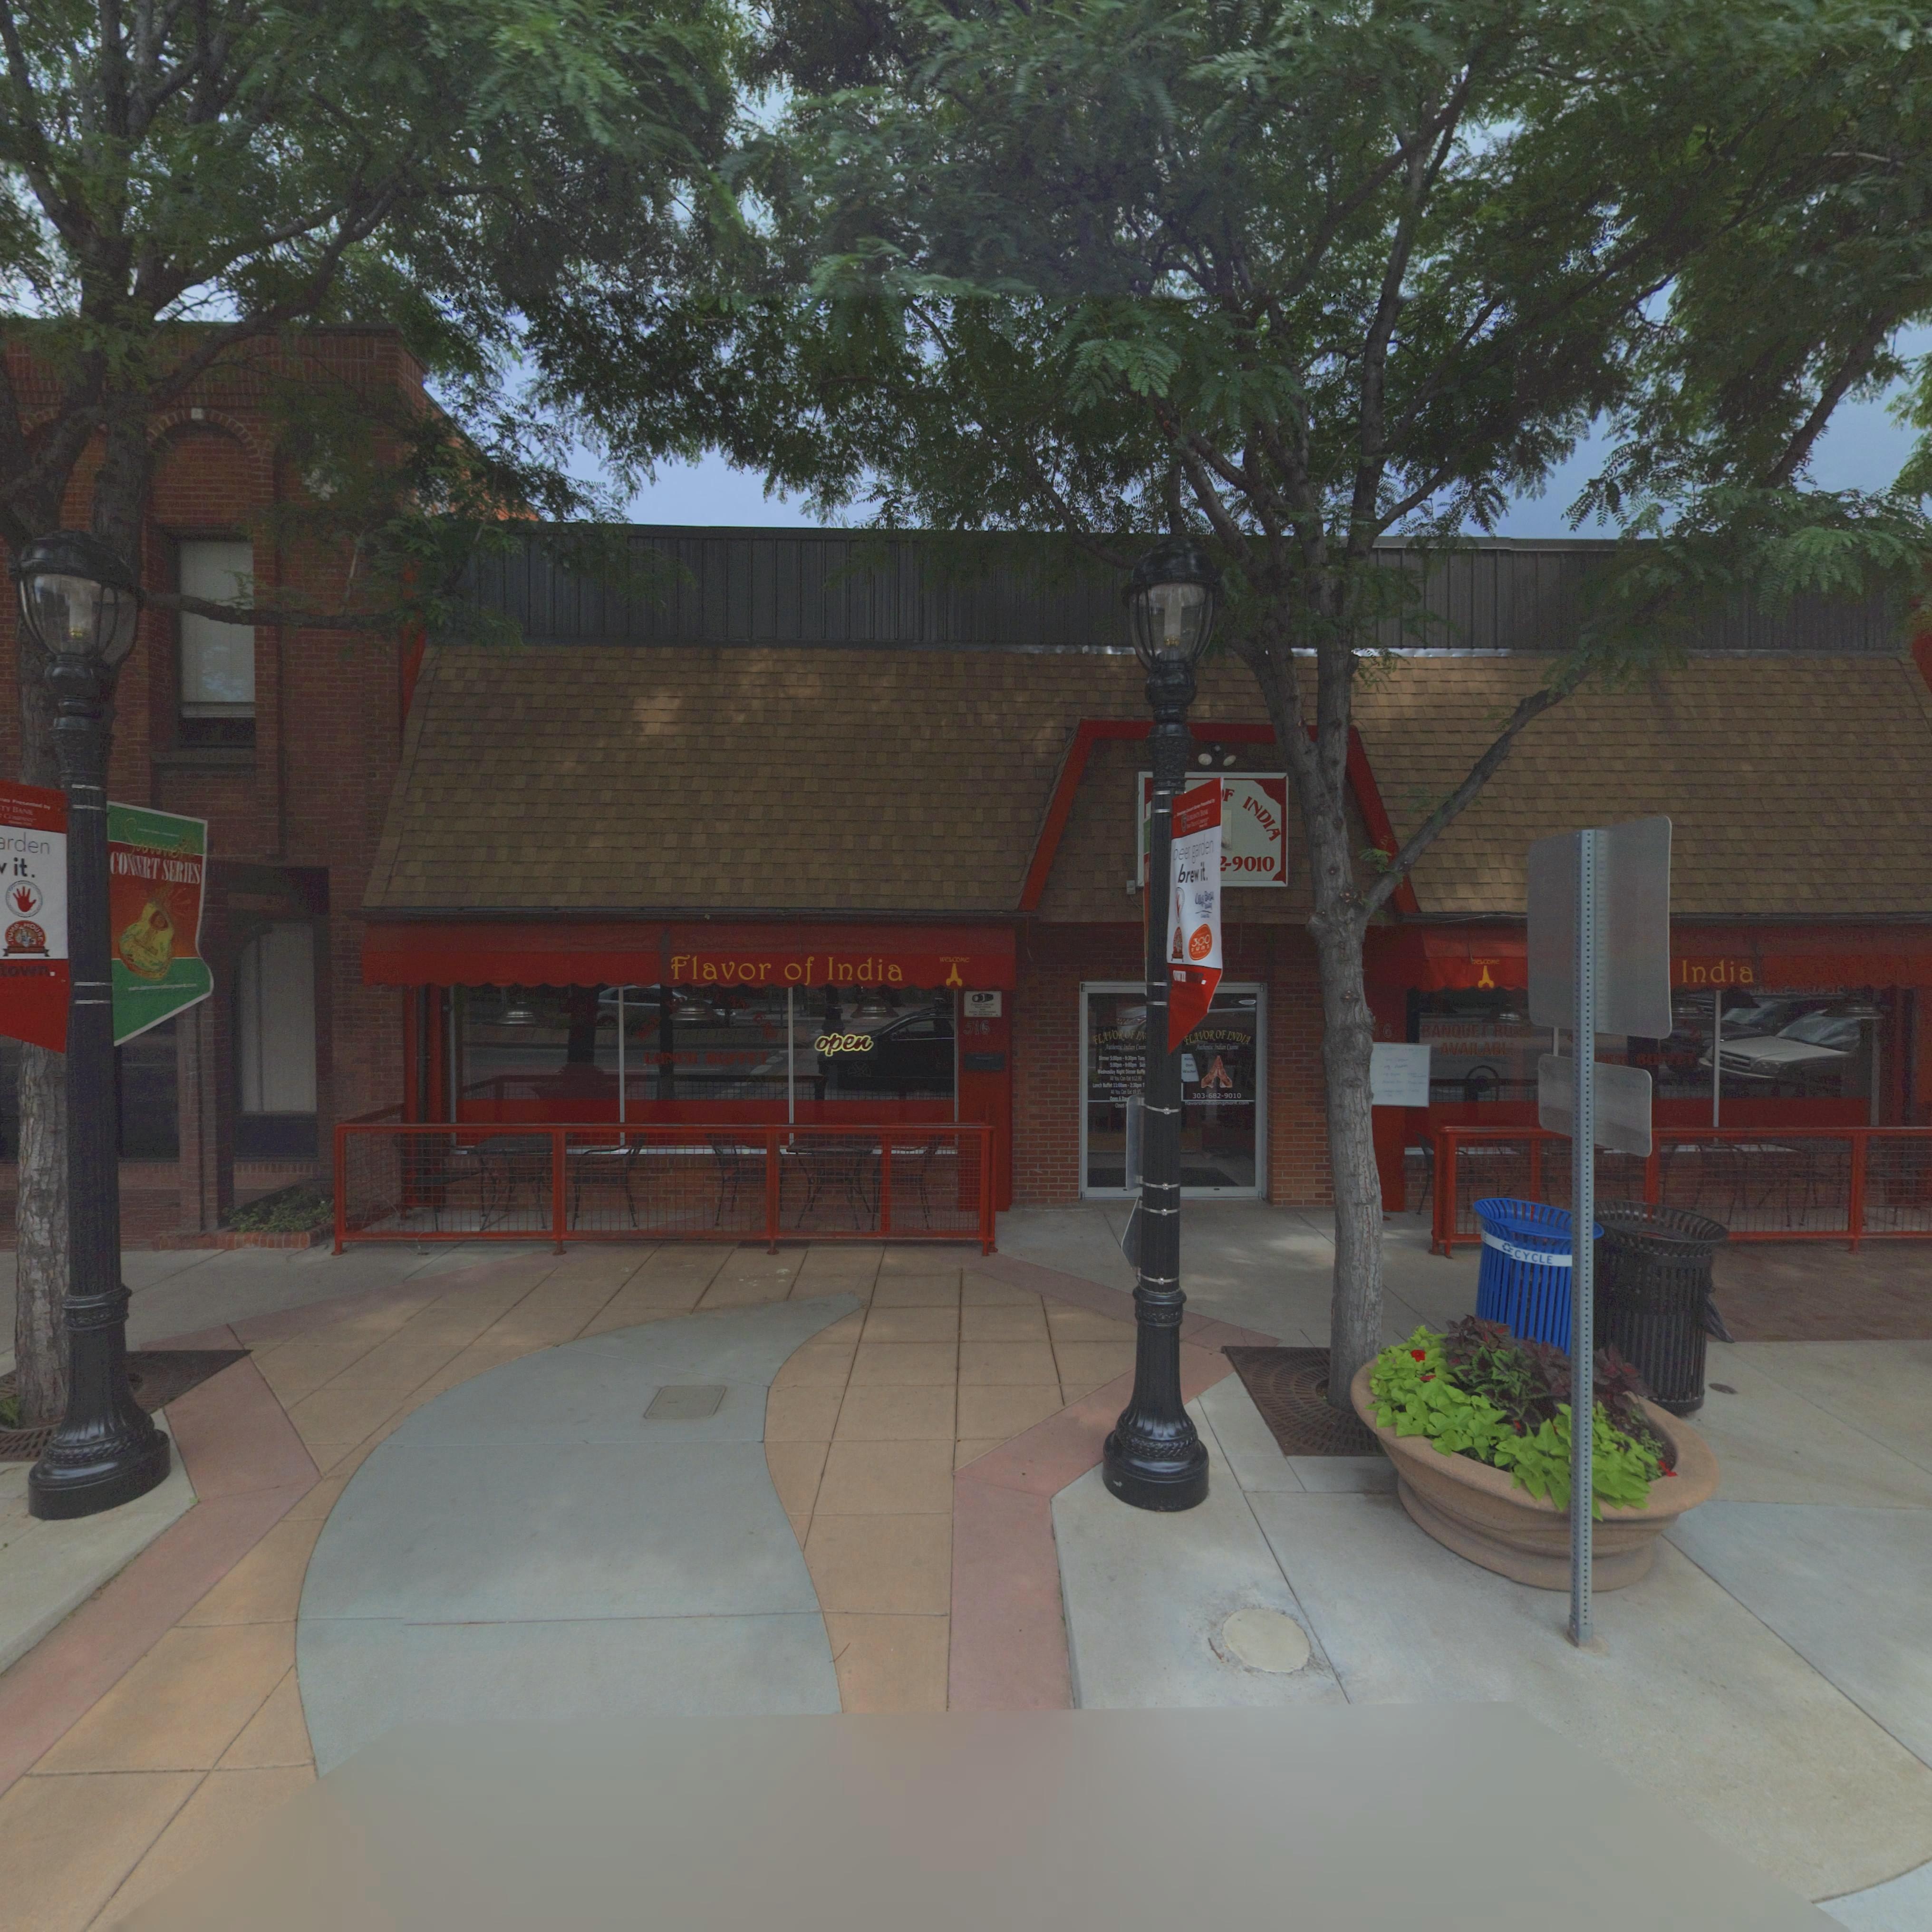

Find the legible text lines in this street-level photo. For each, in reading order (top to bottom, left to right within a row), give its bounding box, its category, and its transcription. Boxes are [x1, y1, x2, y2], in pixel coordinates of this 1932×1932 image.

[1222, 786, 1282, 843] BusinessName: F INDIA
[669, 954, 905, 984] BusinessName: Flavor of India
[1680, 958, 1756, 985] BusinessName: Indida
[961, 1019, 991, 1036] StreetNumber: 516
[1092, 1028, 1146, 1045] BusinessName: FLAVOR OF IN
[1183, 1029, 1252, 1046] BusinessName: FLAVOR OF INDIA
[1374, 1022, 1392, 1040] StreetNumber: 16